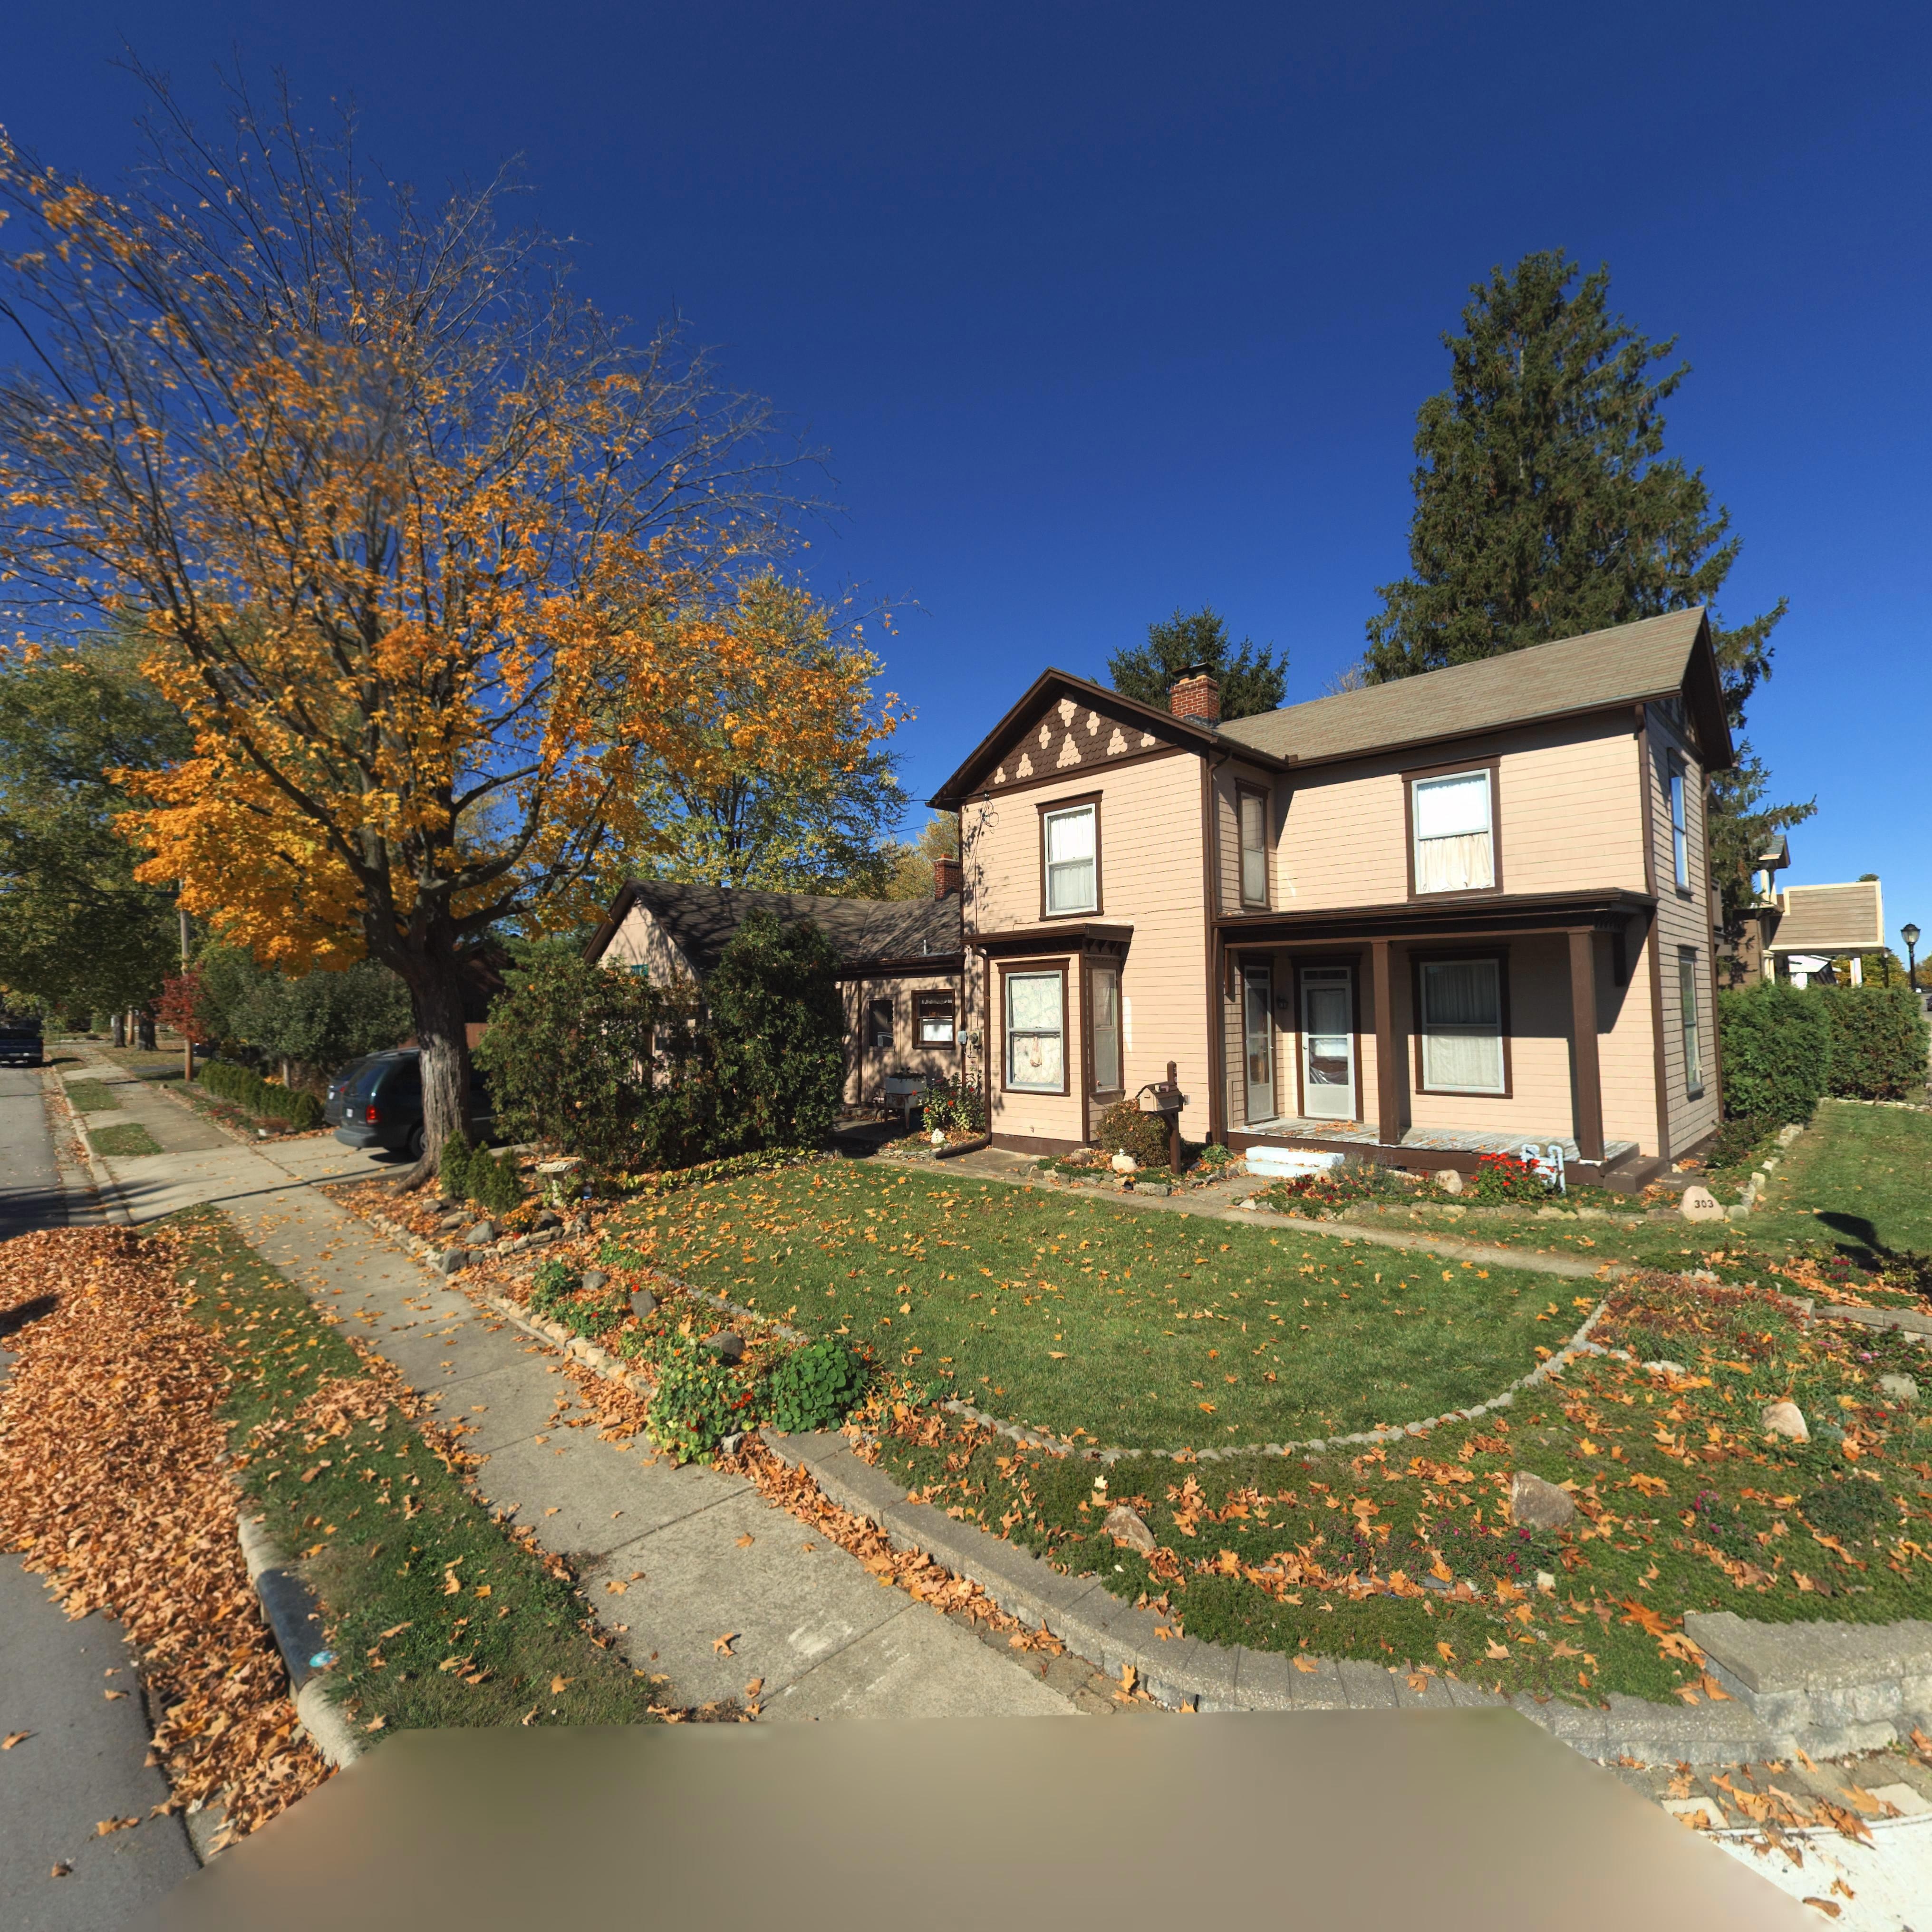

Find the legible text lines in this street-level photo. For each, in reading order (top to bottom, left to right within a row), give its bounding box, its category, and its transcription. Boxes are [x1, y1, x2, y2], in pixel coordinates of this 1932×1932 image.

[1693, 1199, 1715, 1209] StreetNumber: 303